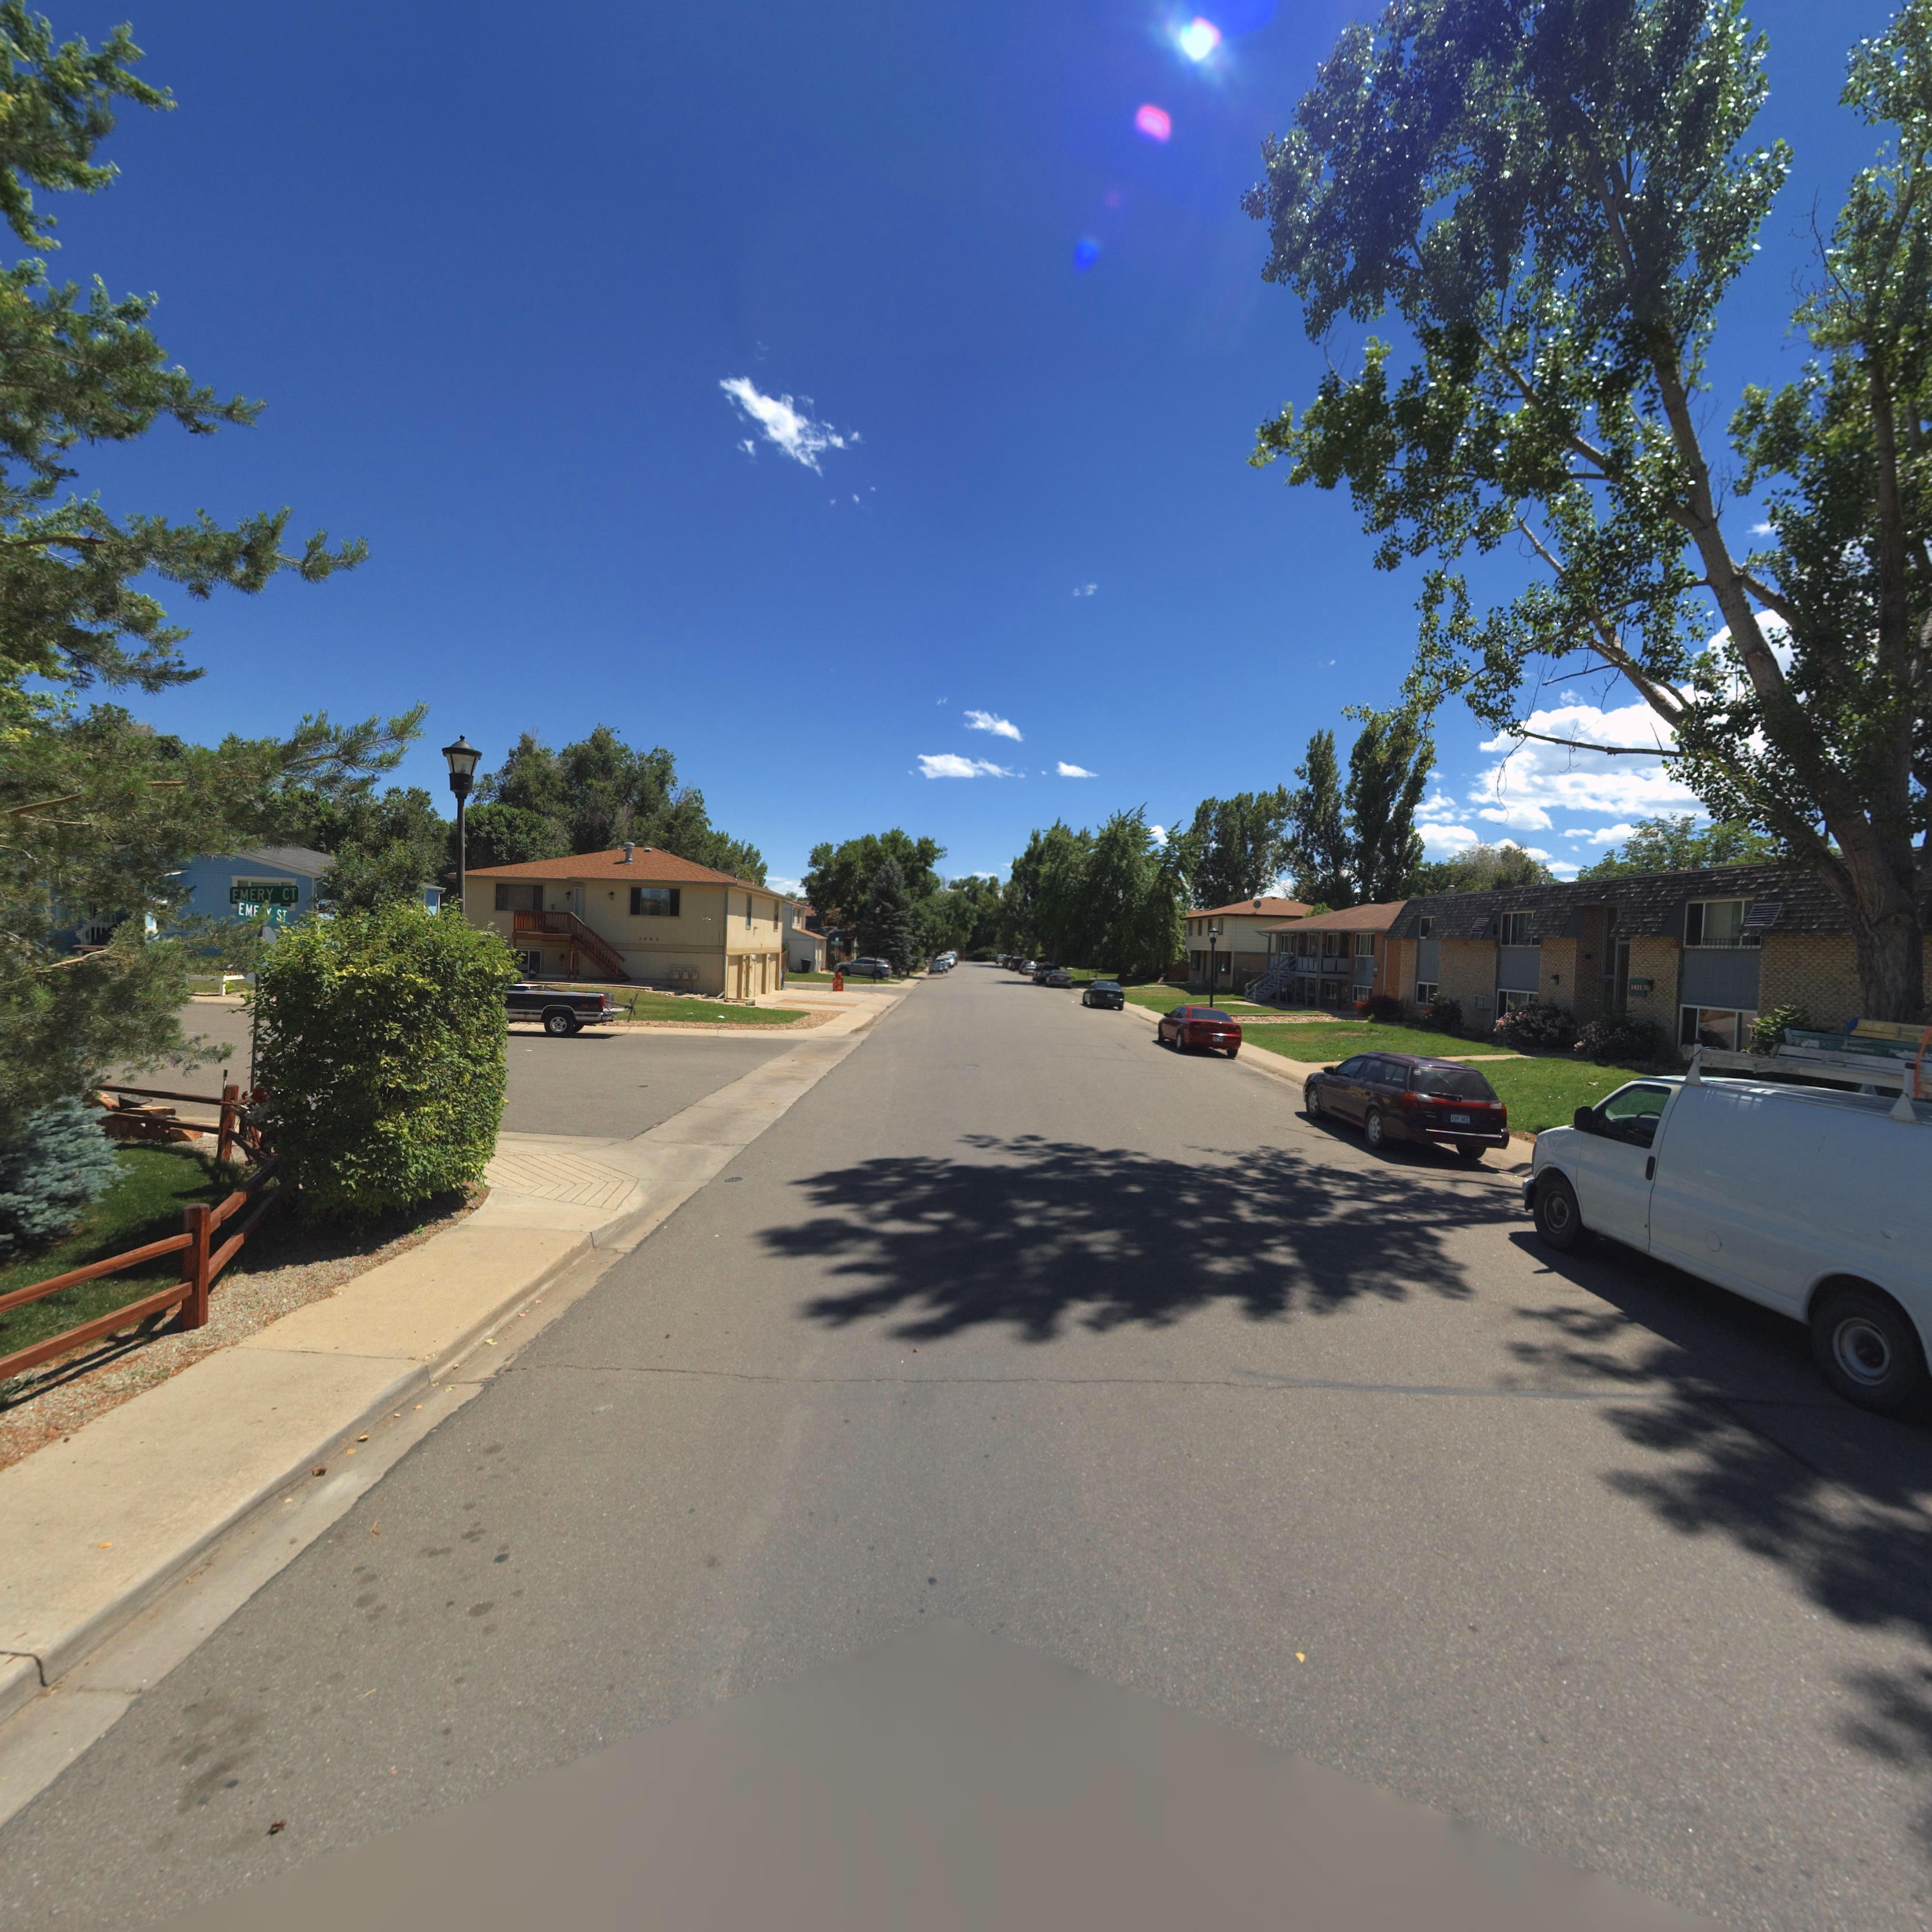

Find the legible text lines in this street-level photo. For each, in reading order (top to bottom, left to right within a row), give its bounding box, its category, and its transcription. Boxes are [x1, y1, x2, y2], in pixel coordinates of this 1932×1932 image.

[232, 887, 297, 901] StreetName: EMERY CT
[238, 902, 287, 923] StreetName: EM** ST
[638, 936, 658, 941] StreetNumber: 1402
[1631, 984, 1642, 991] StreetNumber: 1411